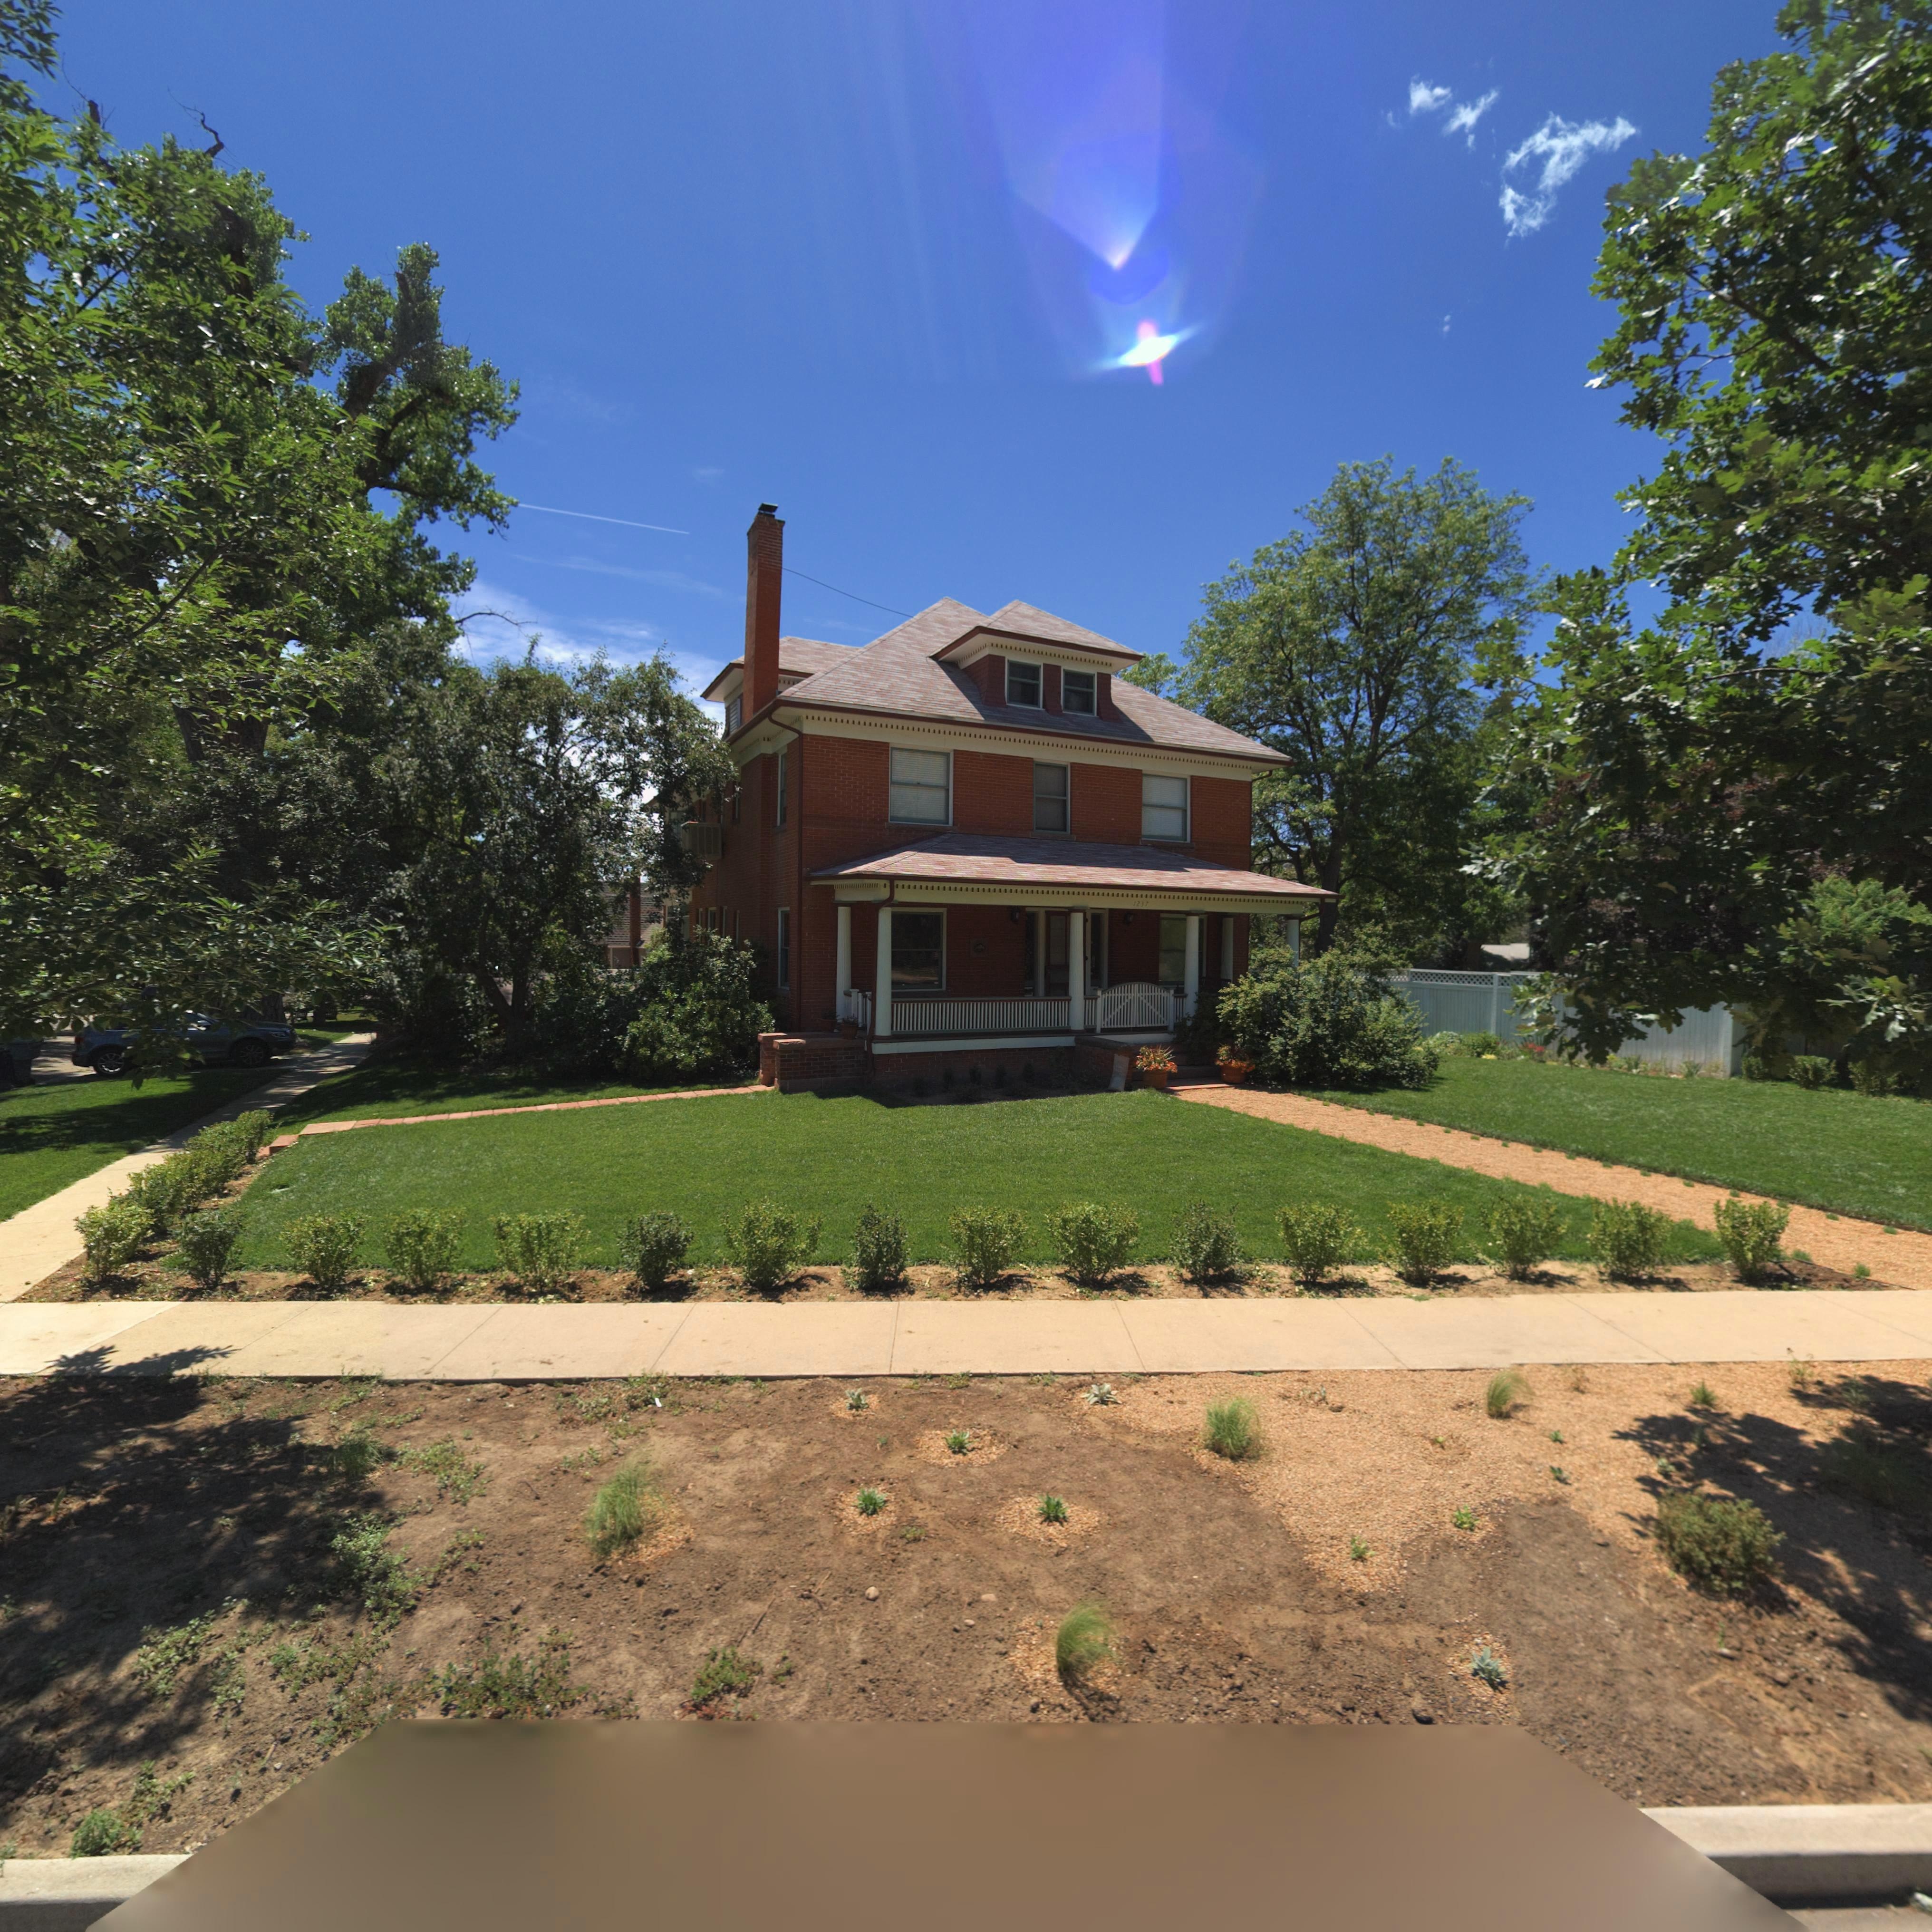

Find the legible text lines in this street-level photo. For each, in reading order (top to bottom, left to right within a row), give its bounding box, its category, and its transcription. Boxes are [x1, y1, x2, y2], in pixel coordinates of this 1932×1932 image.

[1132, 901, 1149, 907] StreetNumber: 1237